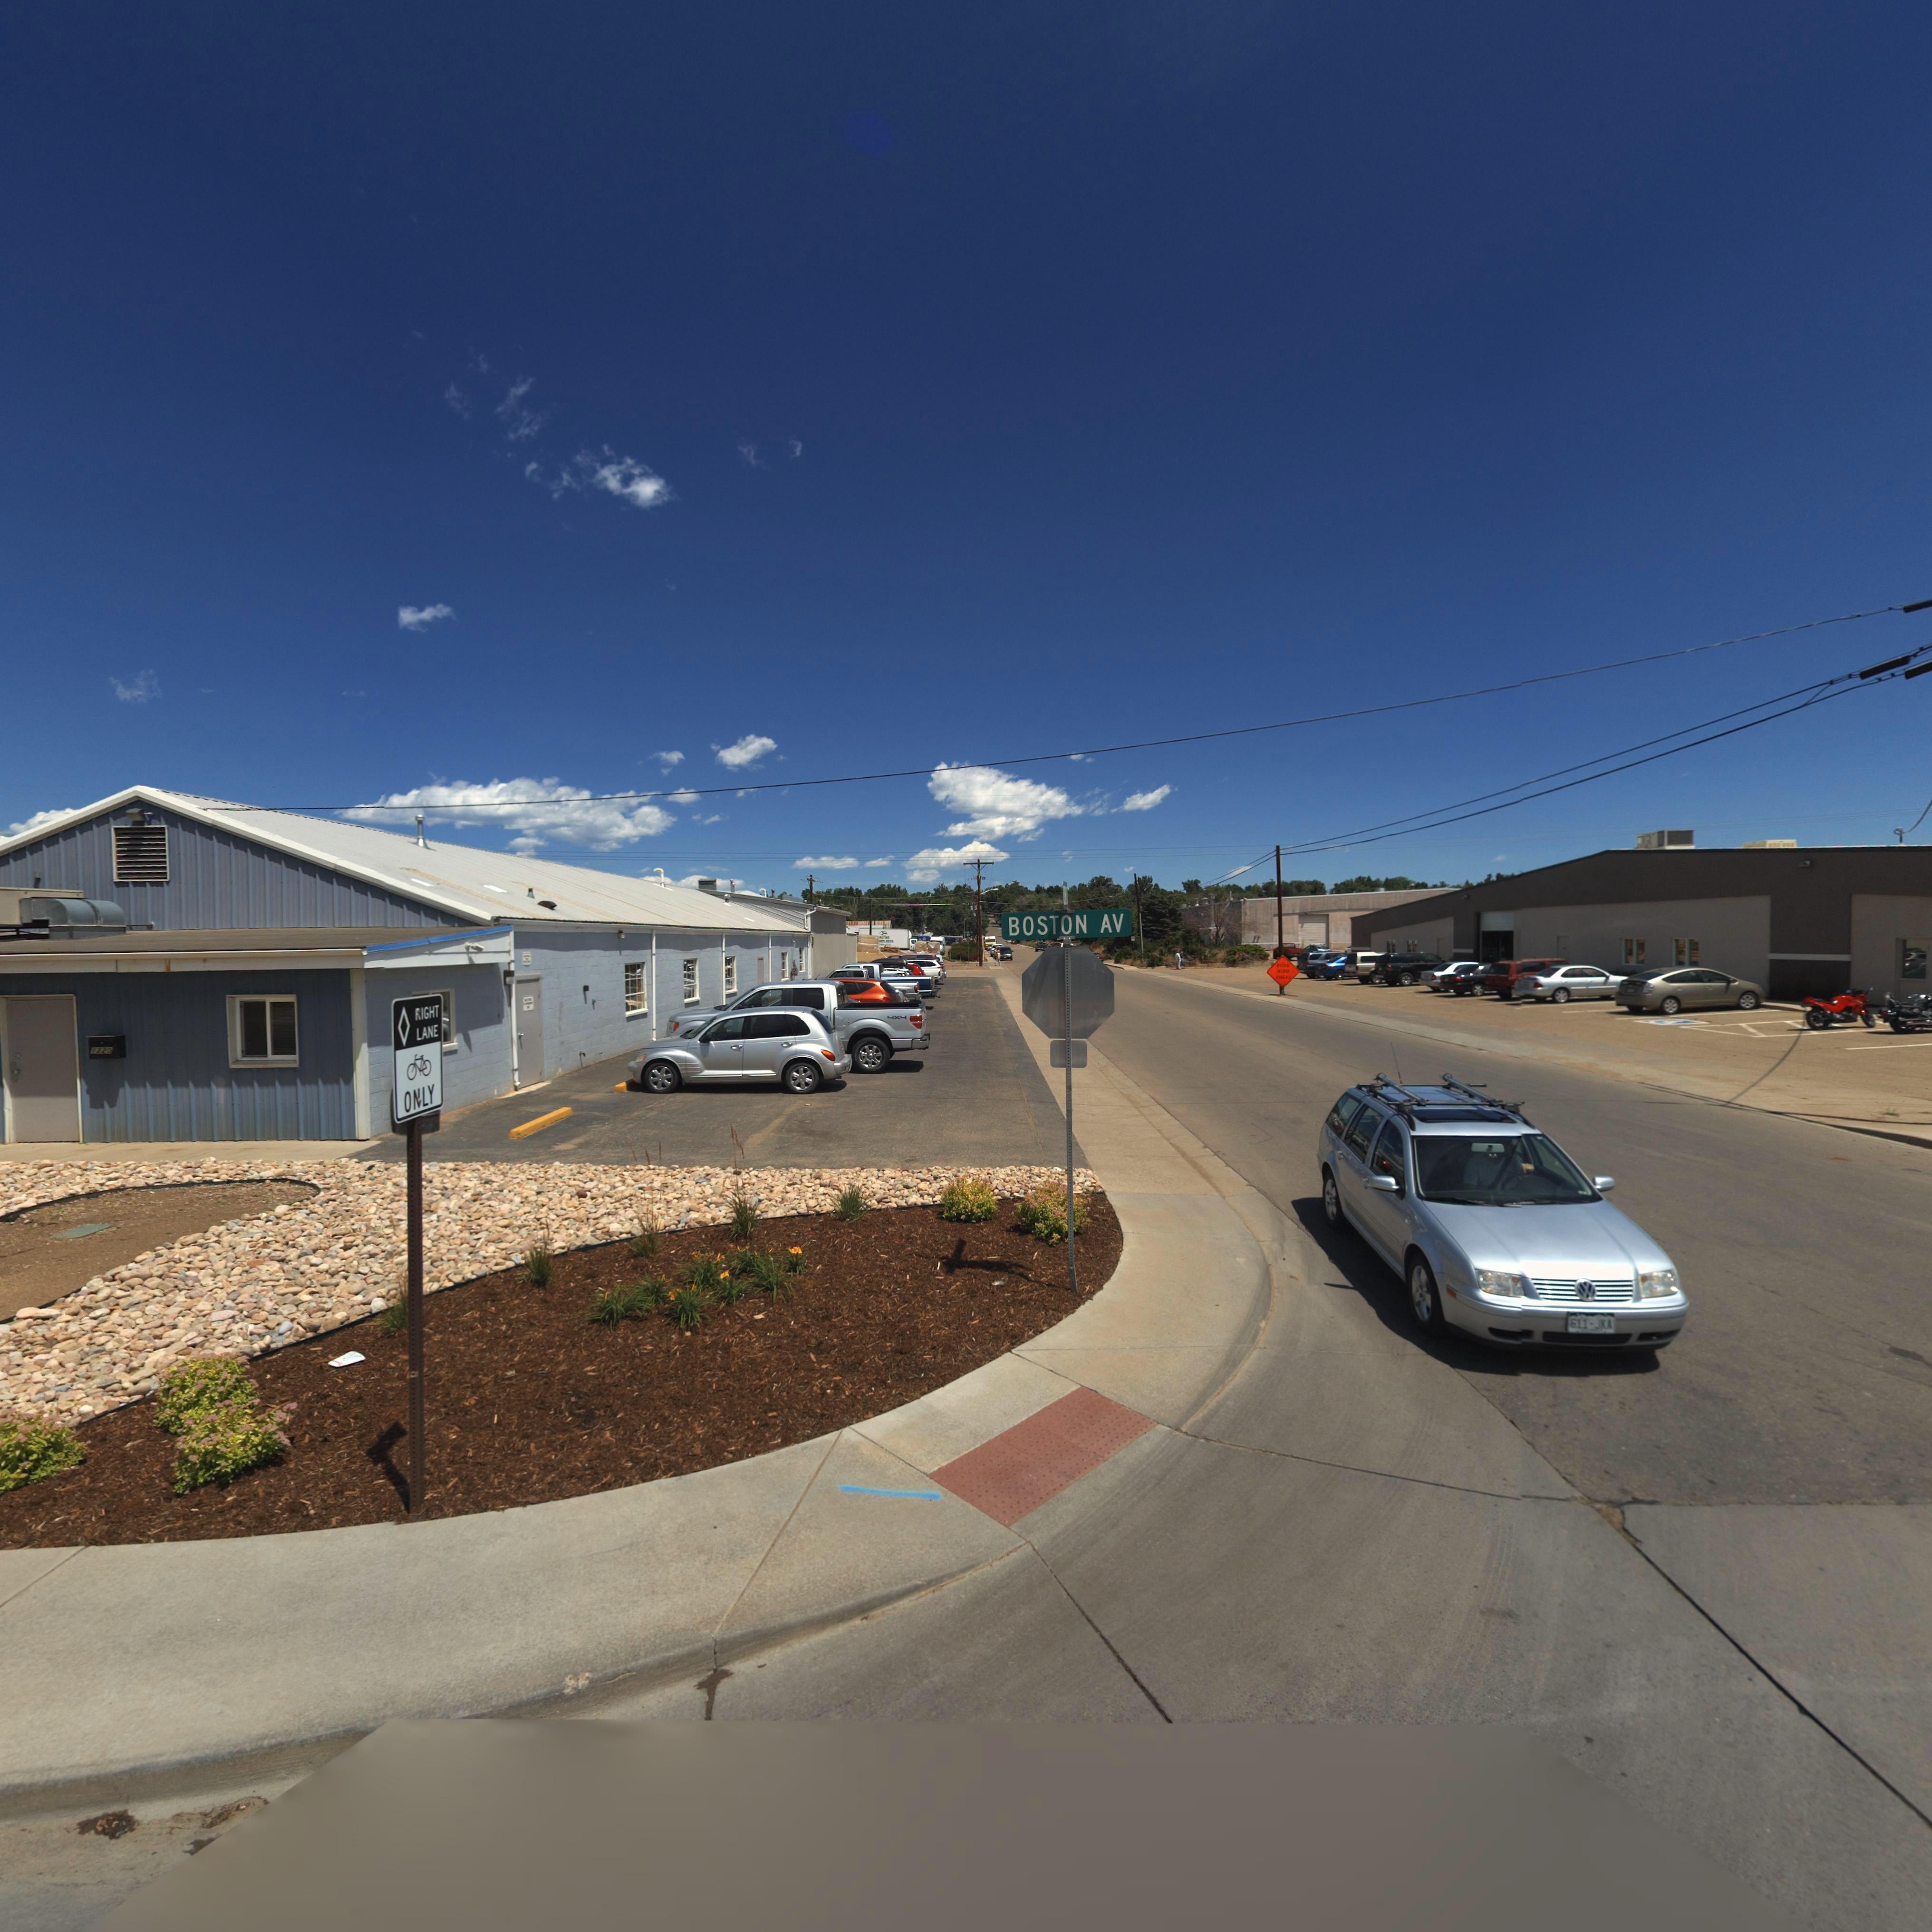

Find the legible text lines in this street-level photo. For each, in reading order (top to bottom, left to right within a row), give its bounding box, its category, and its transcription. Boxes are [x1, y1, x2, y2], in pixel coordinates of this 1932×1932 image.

[1008, 913, 1124, 936] StreetName: BOSTON AV
[91, 1047, 112, 1054] StreetNumber: 1220